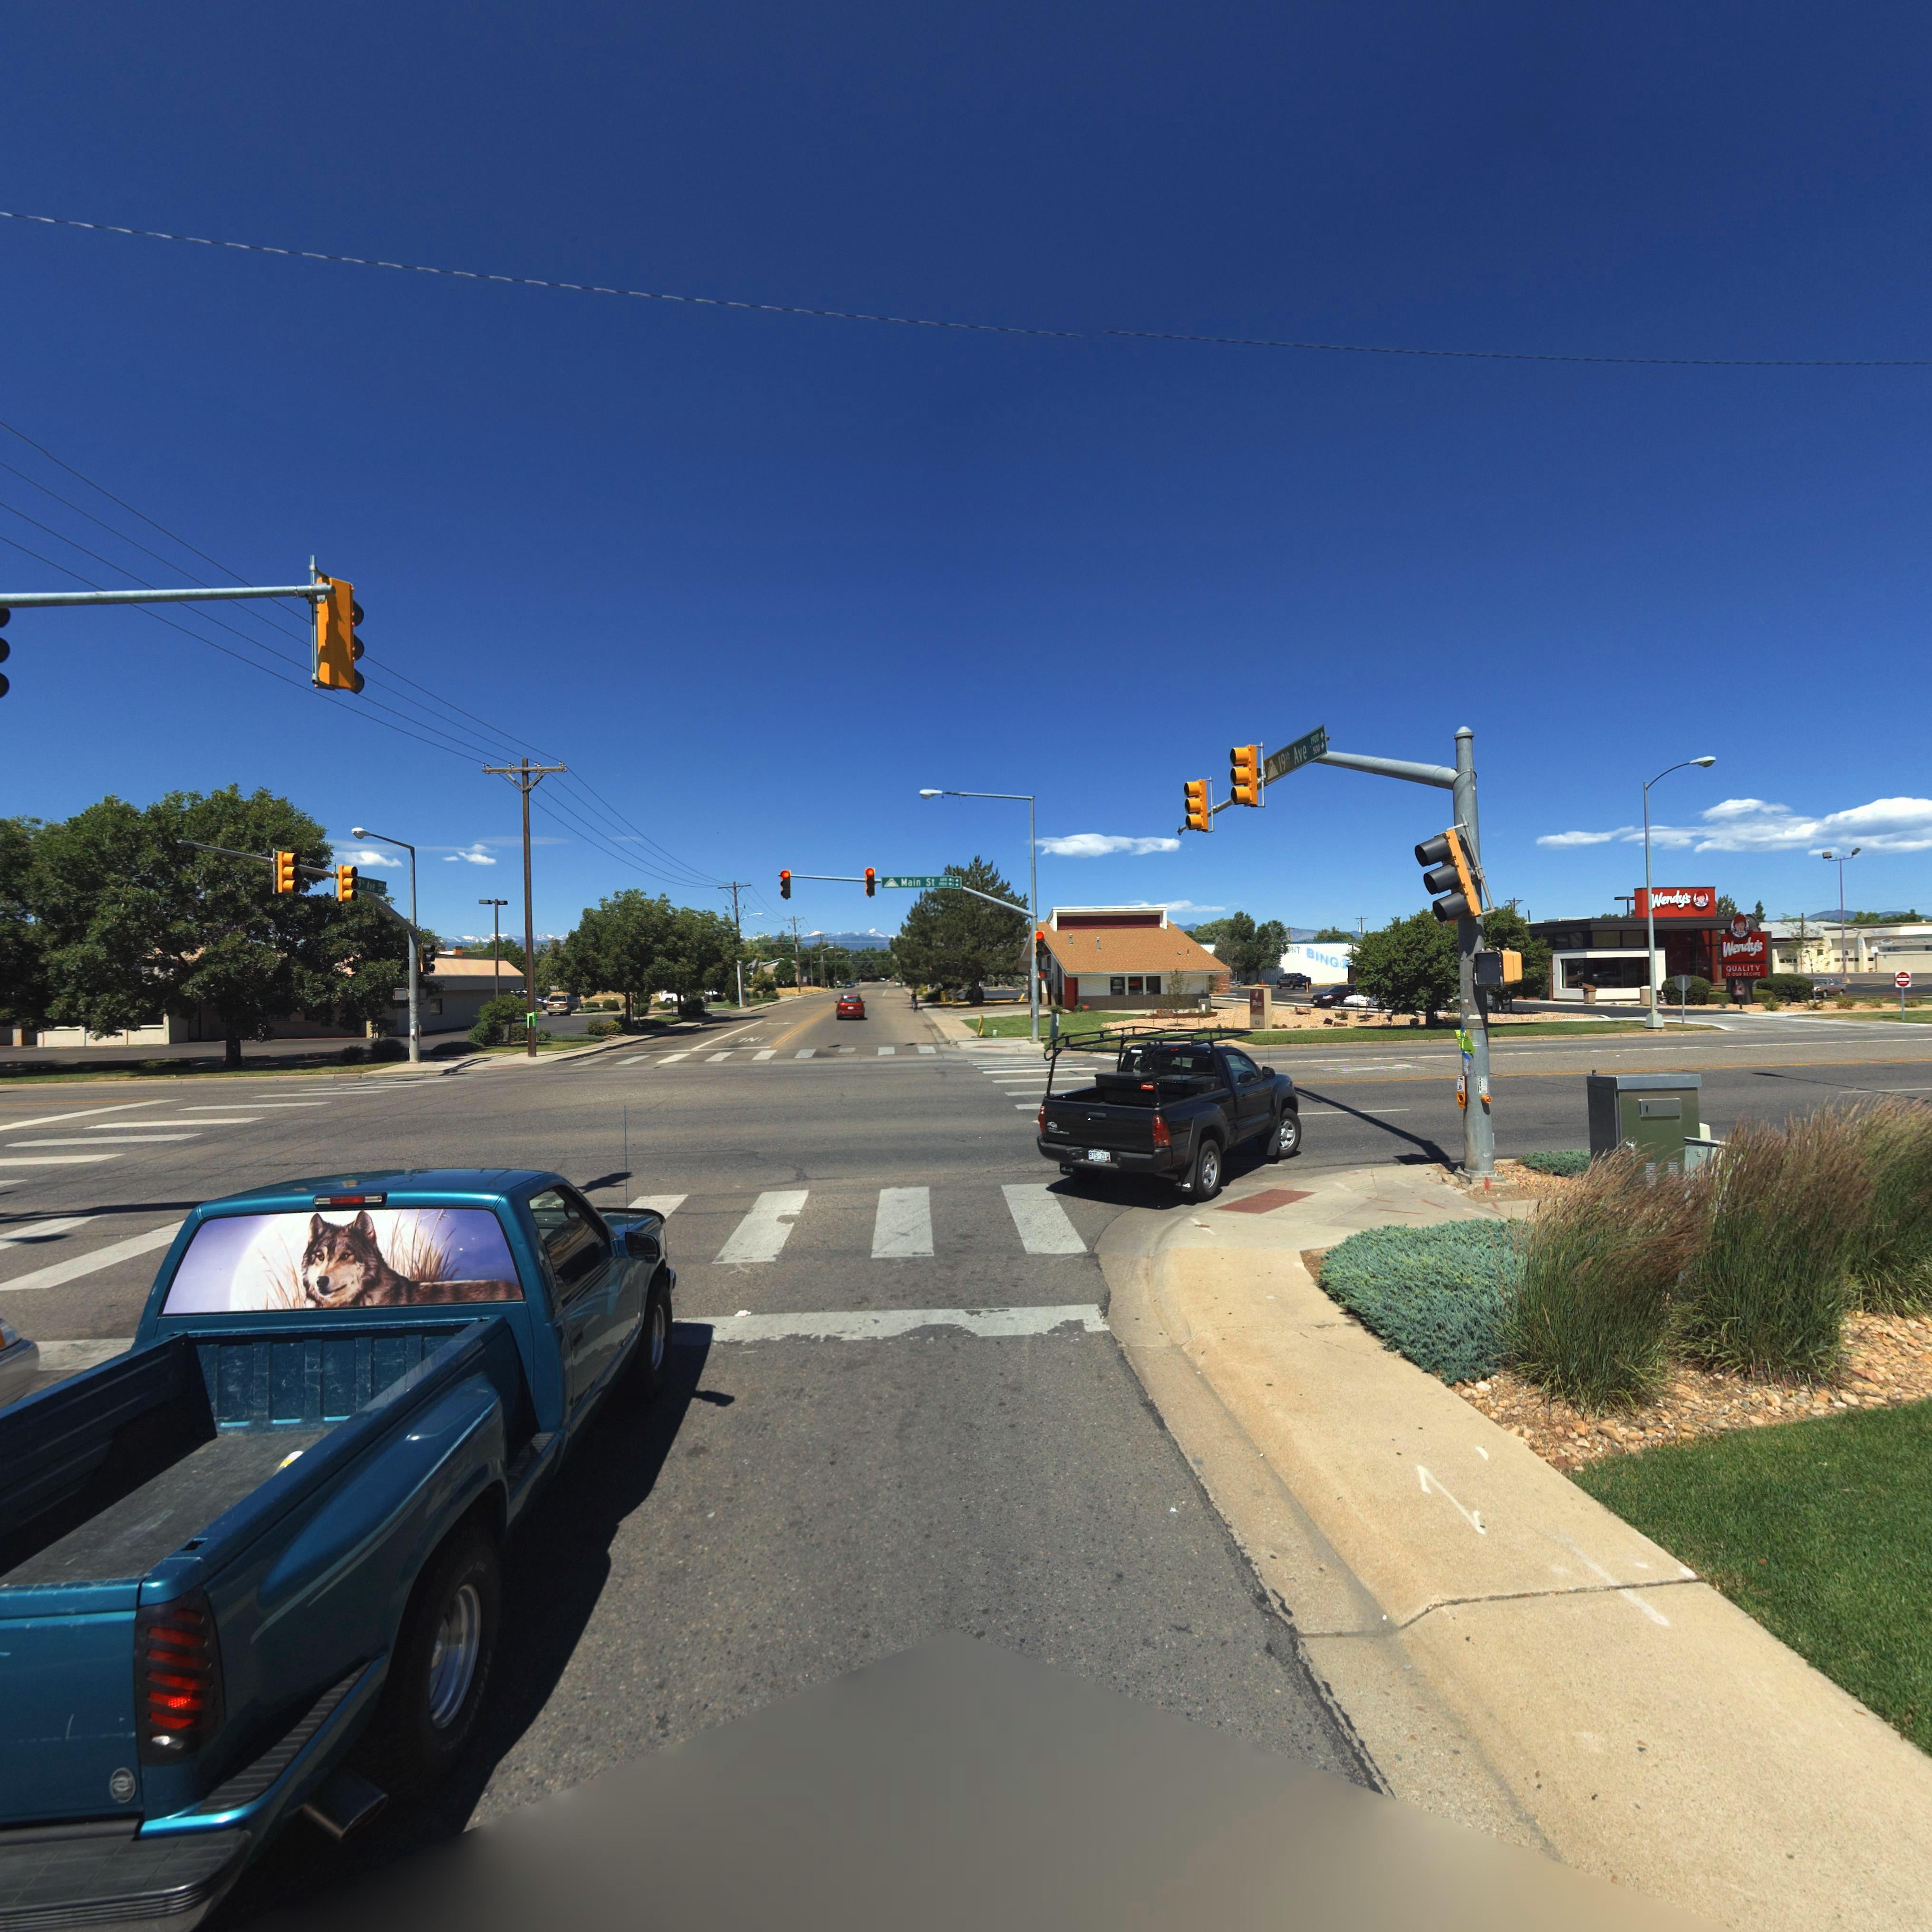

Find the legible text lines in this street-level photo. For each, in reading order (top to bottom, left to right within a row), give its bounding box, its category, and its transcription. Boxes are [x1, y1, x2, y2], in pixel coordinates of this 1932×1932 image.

[1310, 733, 1319, 745] StreetNumberRange: 1900
[1312, 741, 1325, 754] StreetNumberRange: 500->
[1277, 744, 1307, 773] StreetName: 19th Ave
[357, 878, 376, 891] StreetName: 9th Ave
[900, 878, 935, 886] StreetName: Main St
[939, 877, 947, 881] StreetNumberRange: 600
[938, 881, 952, 886] StreetNumberRange: 1900->
[1651, 889, 1691, 908] BusinessName: Wendy's
[1722, 936, 1763, 957] BusinessName: Wendy's
[1284, 945, 1352, 969] BusinessName: *NT BING*
[1251, 999, 1263, 1008] BusinessName: ji*gy*ube